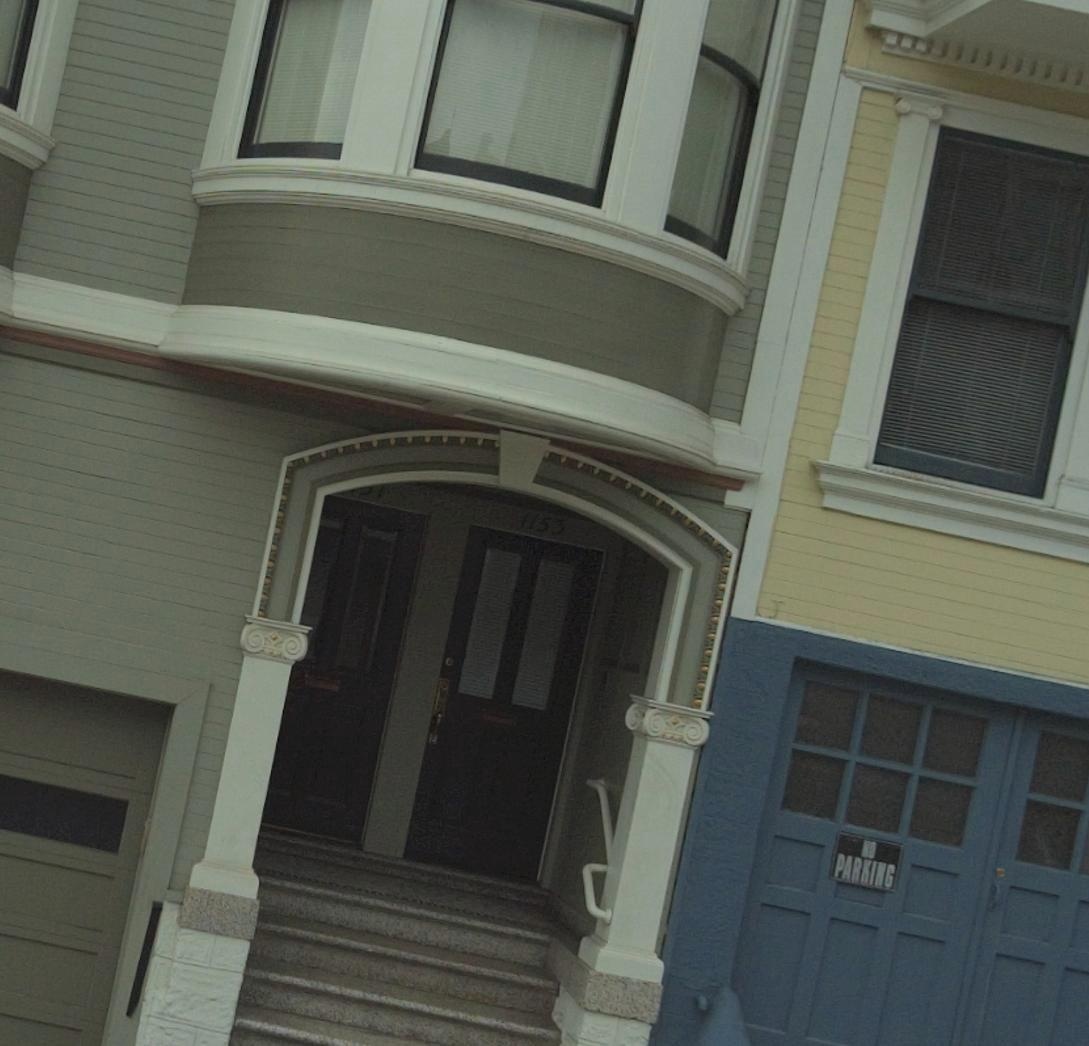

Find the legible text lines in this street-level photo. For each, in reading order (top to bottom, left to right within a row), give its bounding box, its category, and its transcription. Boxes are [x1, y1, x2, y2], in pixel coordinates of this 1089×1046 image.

[517, 509, 569, 541] StreetNumber: 1153
[857, 836, 880, 863] None: NO
[829, 849, 901, 893] None: PARKING